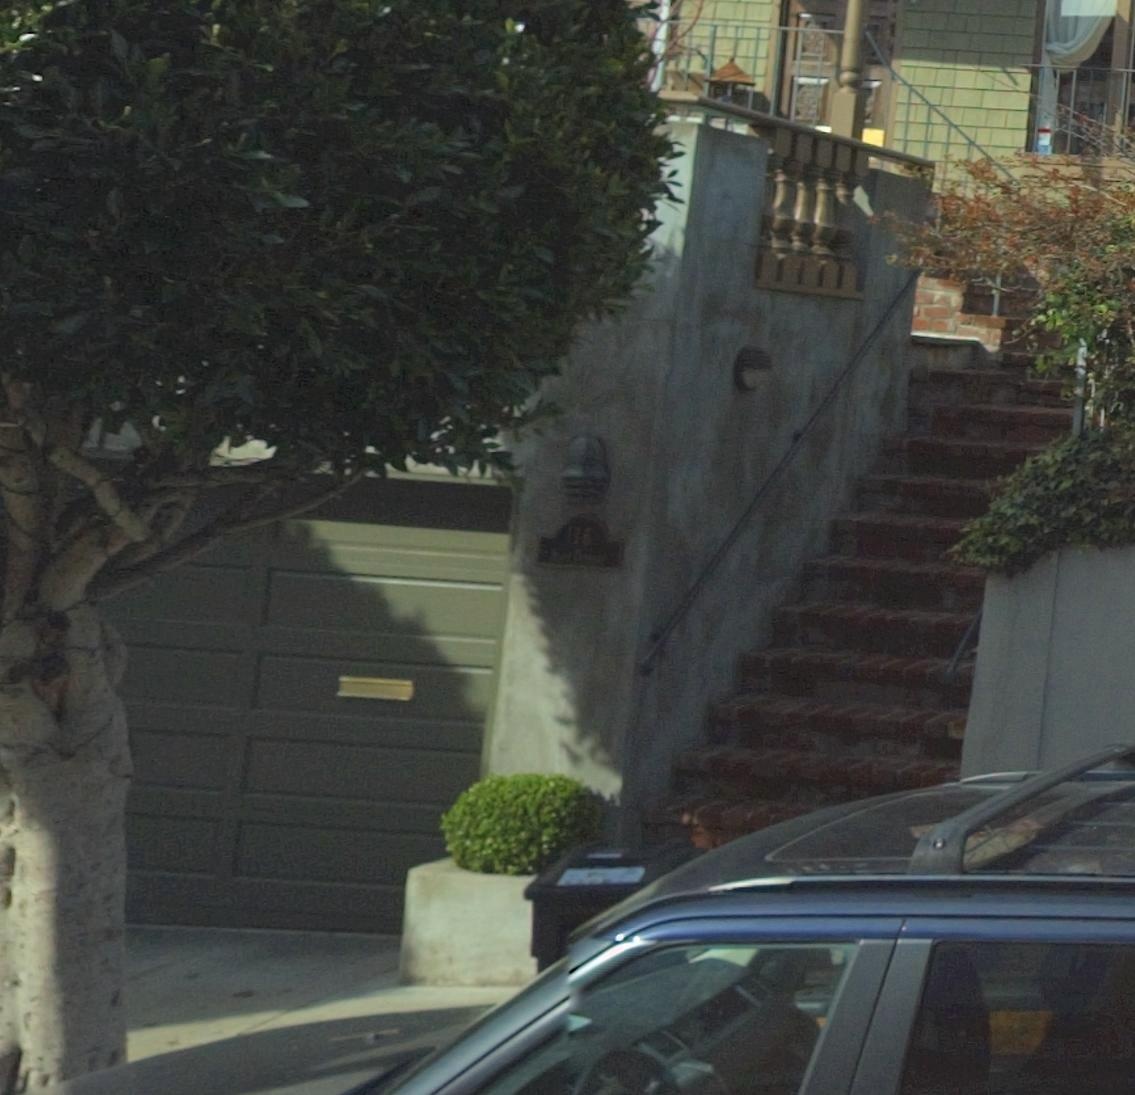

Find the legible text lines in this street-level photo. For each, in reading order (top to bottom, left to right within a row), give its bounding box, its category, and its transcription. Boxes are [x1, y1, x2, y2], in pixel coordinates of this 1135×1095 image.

[567, 526, 592, 547] StreetNumber: 176